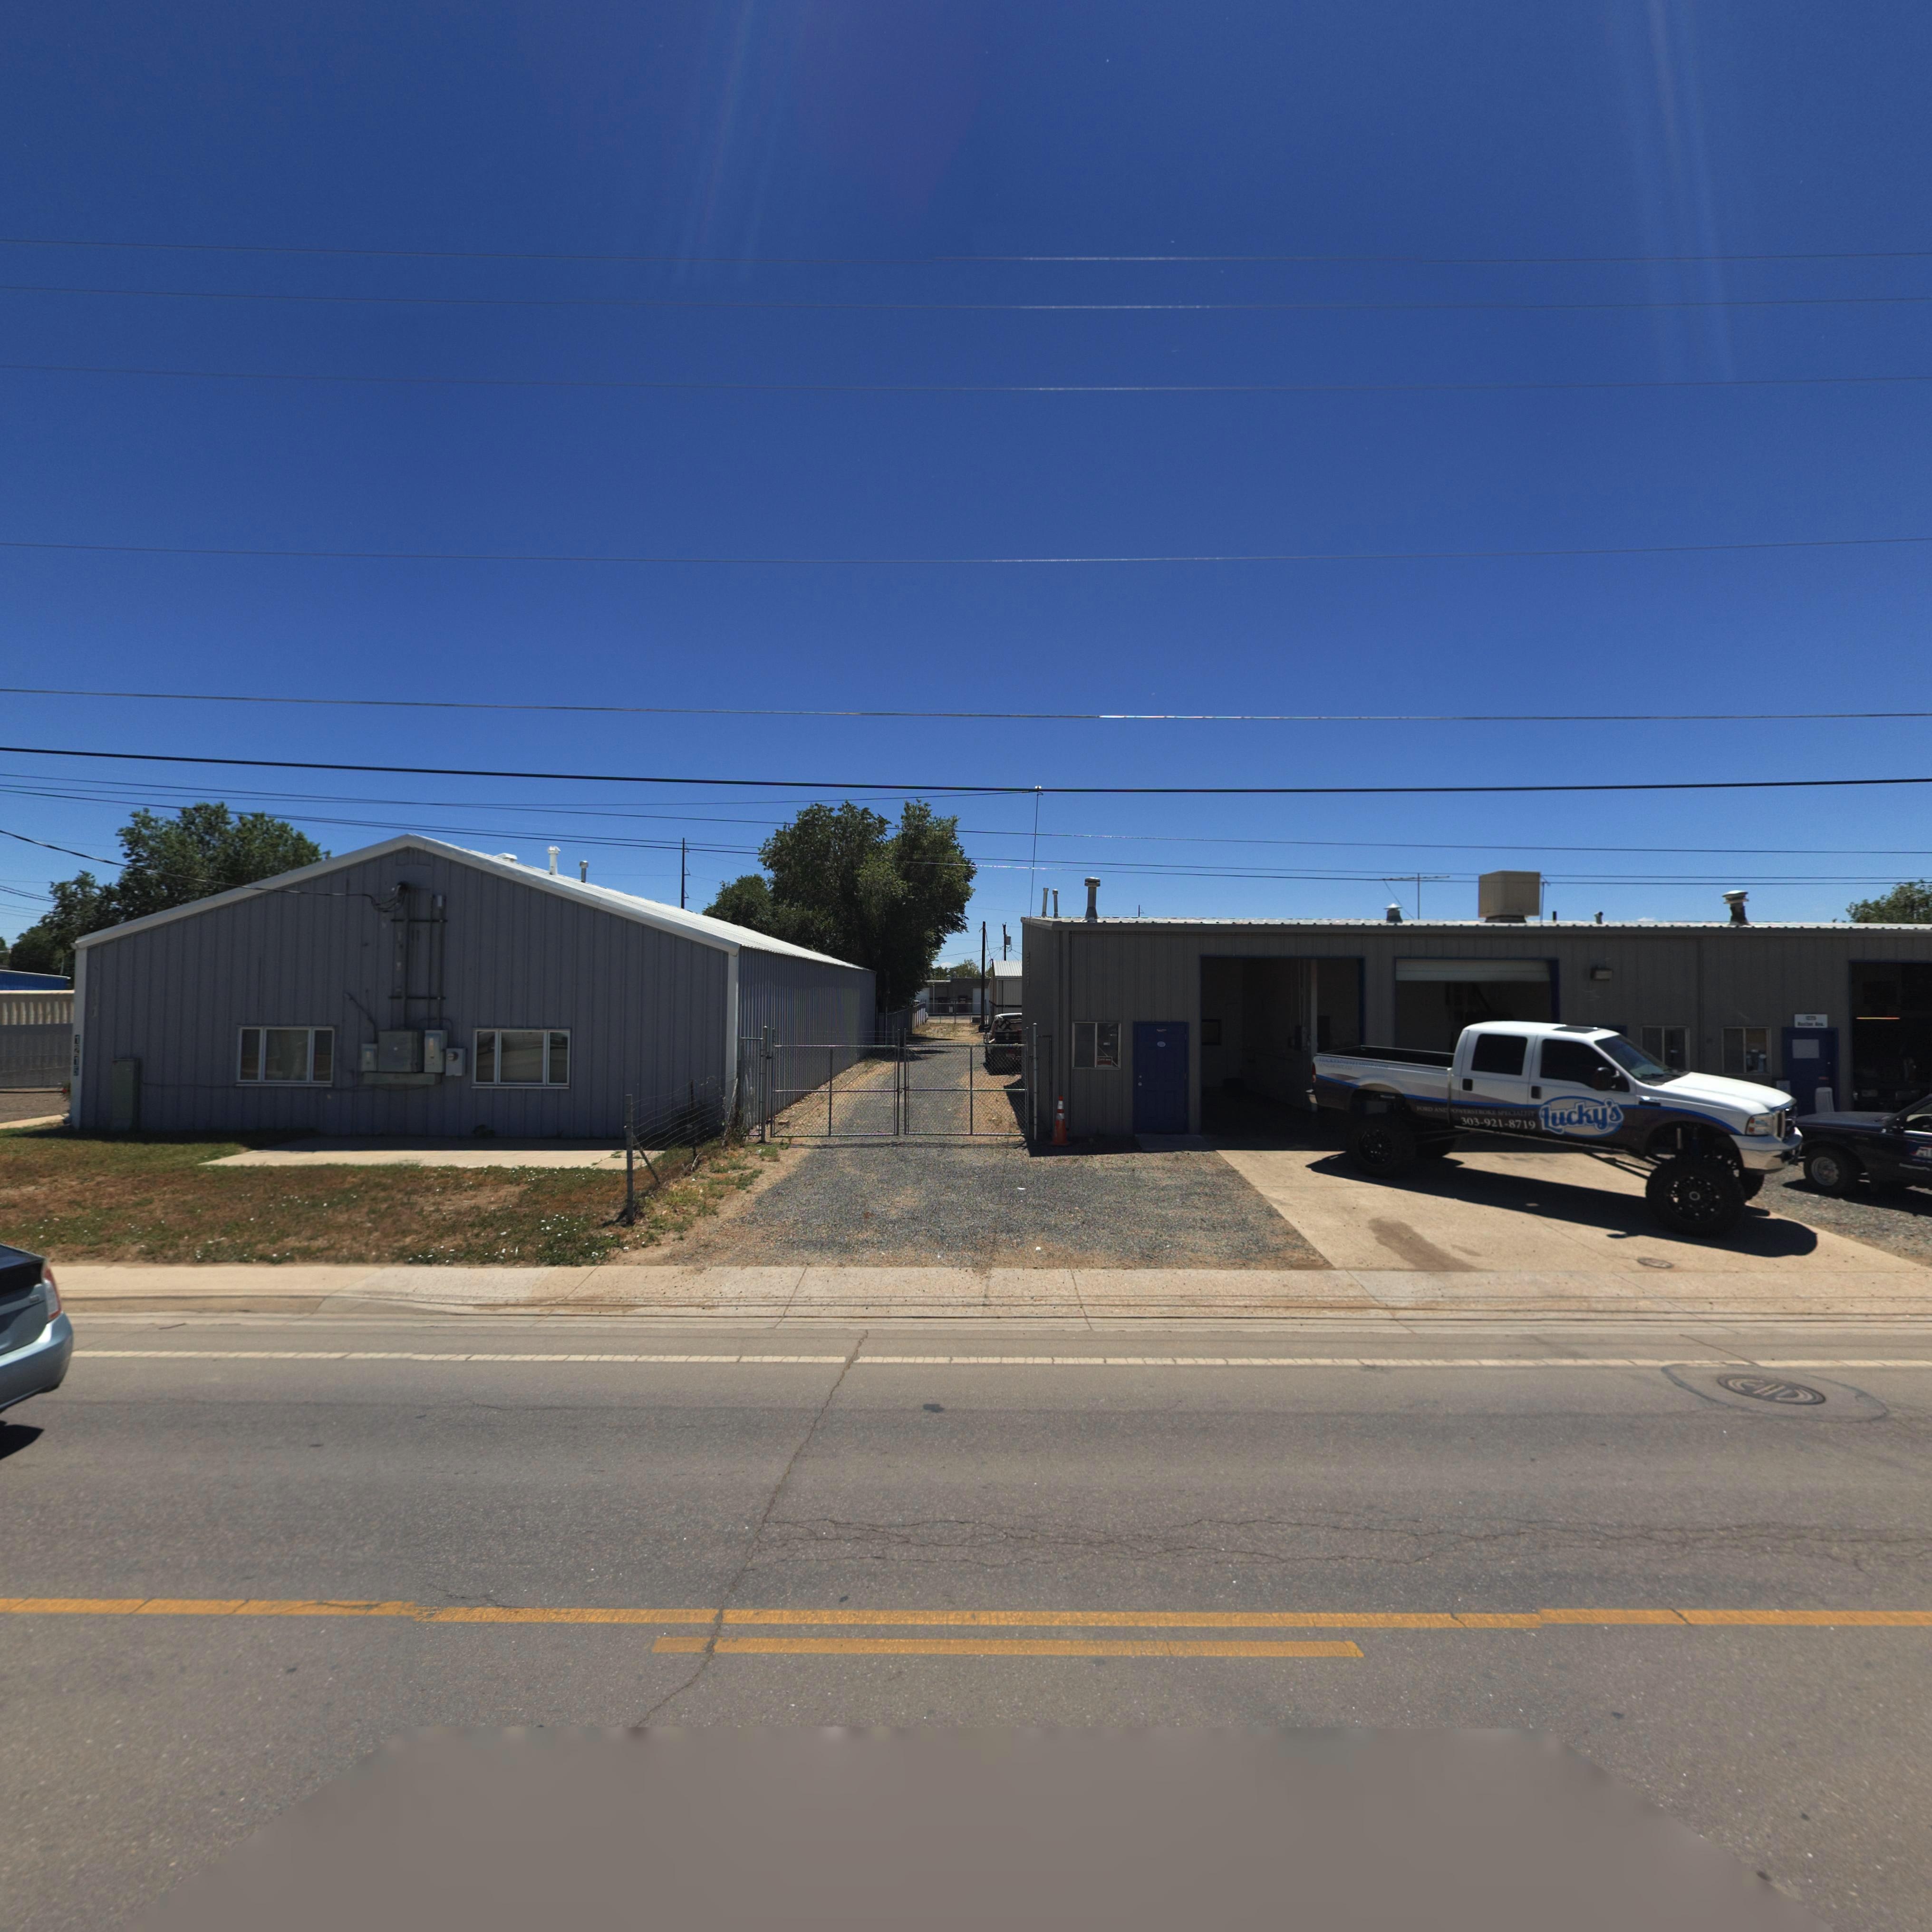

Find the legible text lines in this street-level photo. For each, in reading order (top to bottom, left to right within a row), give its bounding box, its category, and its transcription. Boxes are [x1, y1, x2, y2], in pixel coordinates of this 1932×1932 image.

[1805, 1015, 1817, 1021] StreetNumber: 1225
[1797, 1021, 1824, 1026] StreetName: Boston Ave
[73, 1035, 79, 1075] StreetNumber: 1215